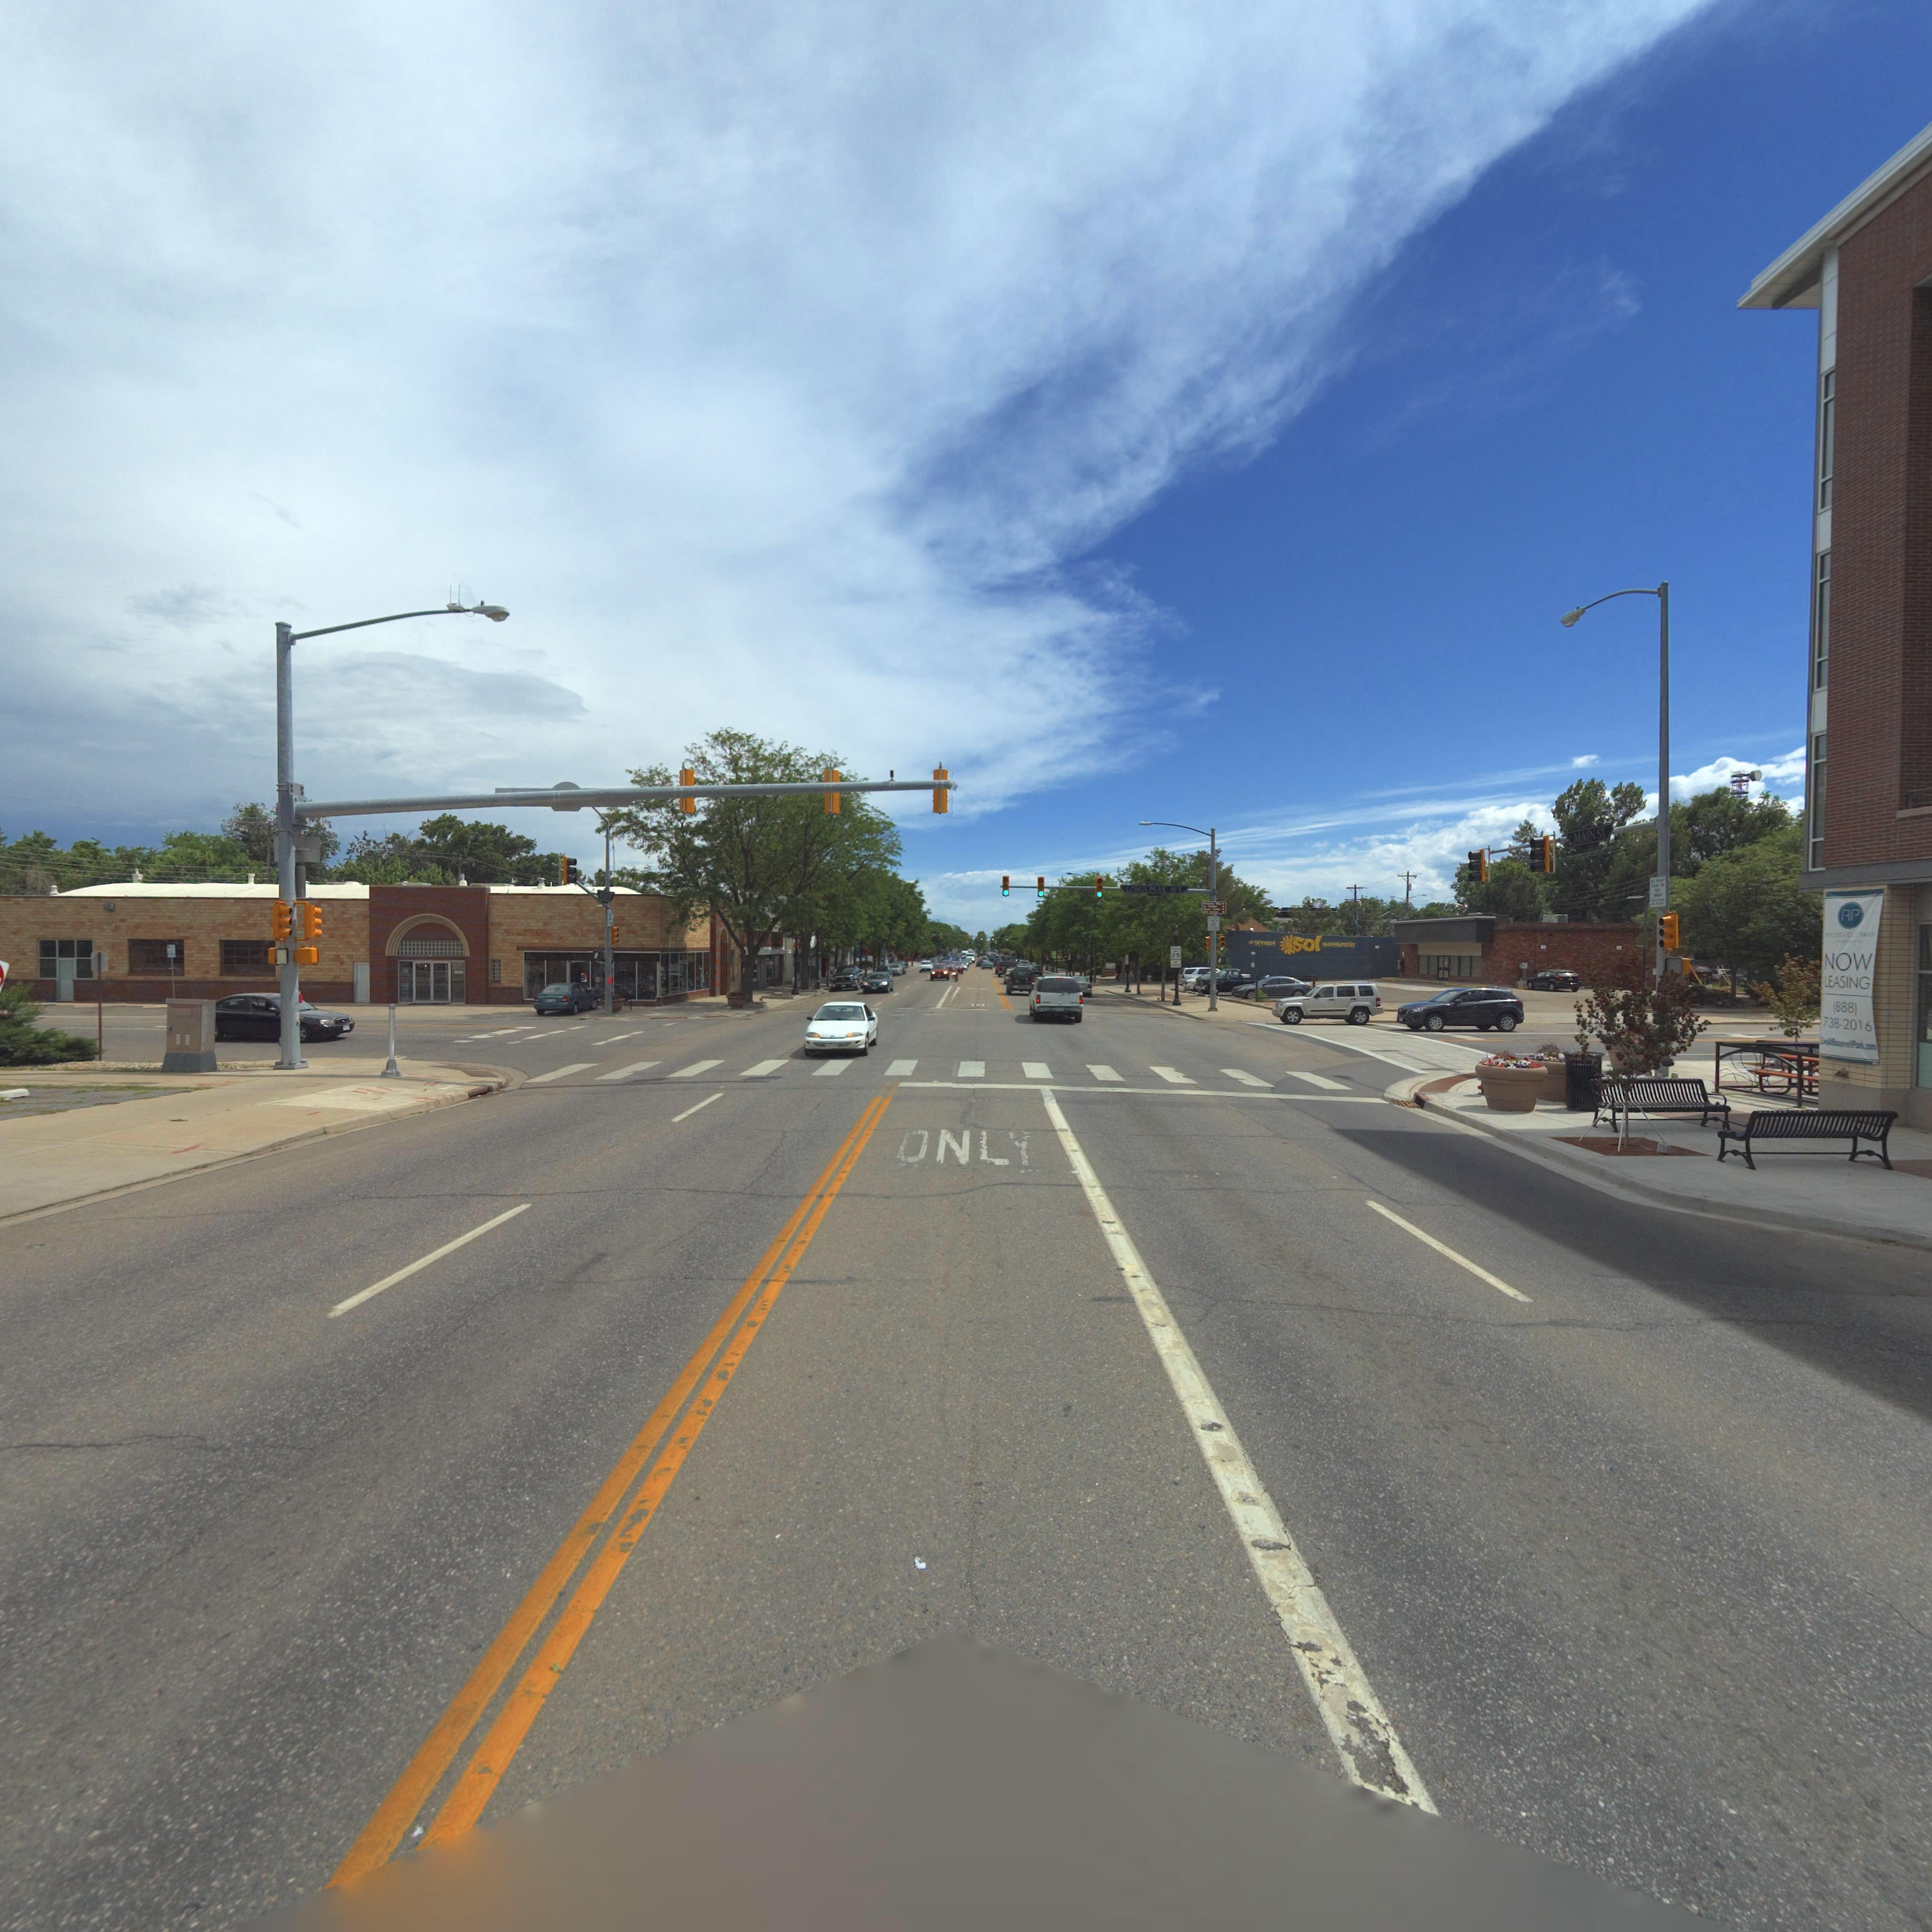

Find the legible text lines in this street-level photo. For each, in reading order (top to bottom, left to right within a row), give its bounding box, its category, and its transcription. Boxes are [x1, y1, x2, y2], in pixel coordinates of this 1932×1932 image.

[1574, 827, 1606, 844] StreetName: MAIN ST
[1126, 886, 1183, 893] StreetName: LONGS PEAK AVE
[598, 891, 612, 900] StreetName: M**N ST
[1291, 935, 1323, 953] BusinessName: sol
[1322, 940, 1355, 948] BusinessName: skateboards